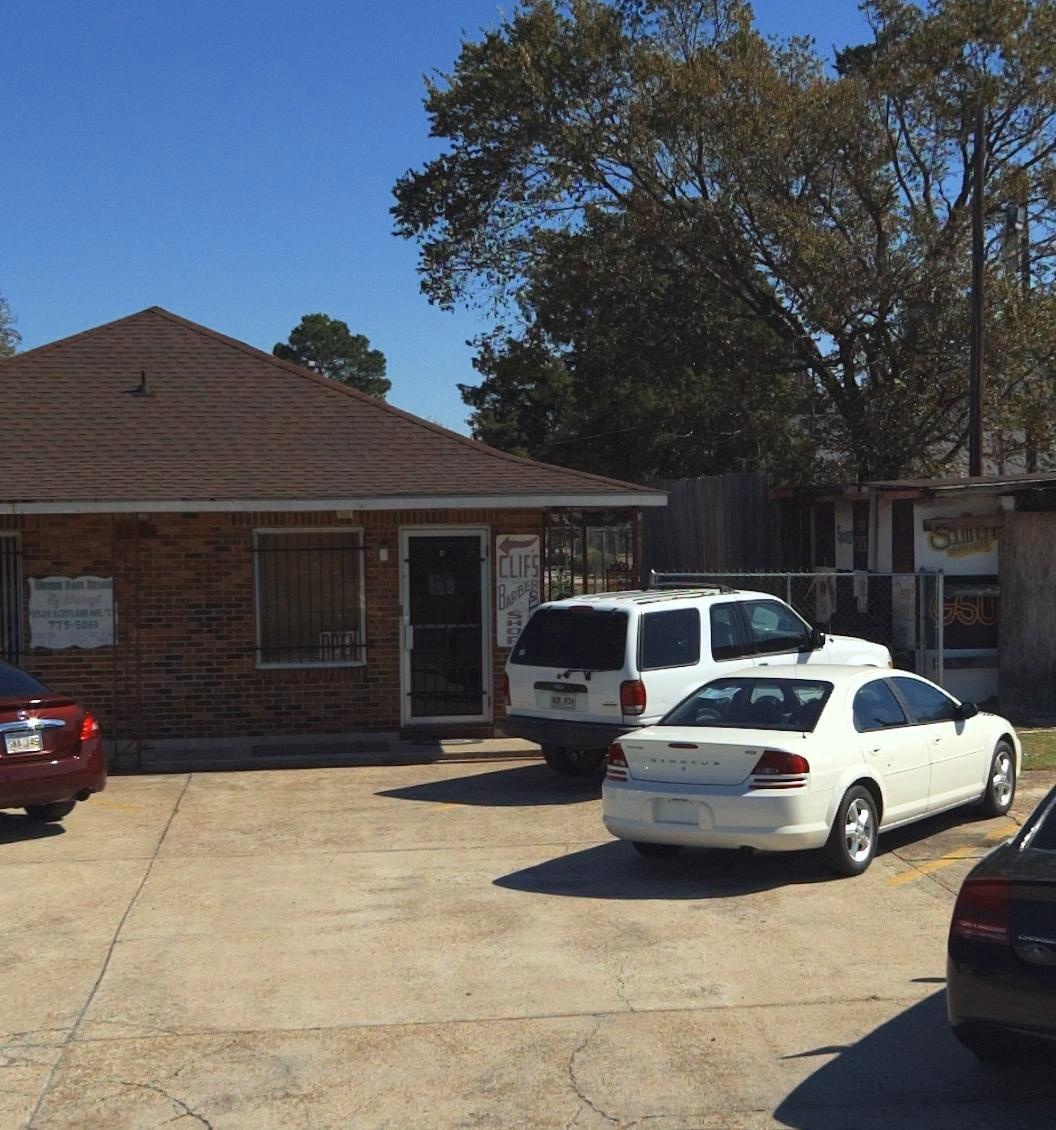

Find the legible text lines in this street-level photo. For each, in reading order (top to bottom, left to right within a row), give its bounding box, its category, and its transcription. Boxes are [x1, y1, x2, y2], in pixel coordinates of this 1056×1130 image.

[498, 547, 539, 579] BusinessName: CLIF'S
[497, 578, 539, 611] BusinessName: BARBER
[47, 619, 100, 631] None: 775-5060
[507, 609, 523, 645] BusinessName: SHO*
[650, 756, 723, 767] None: ST**TUS